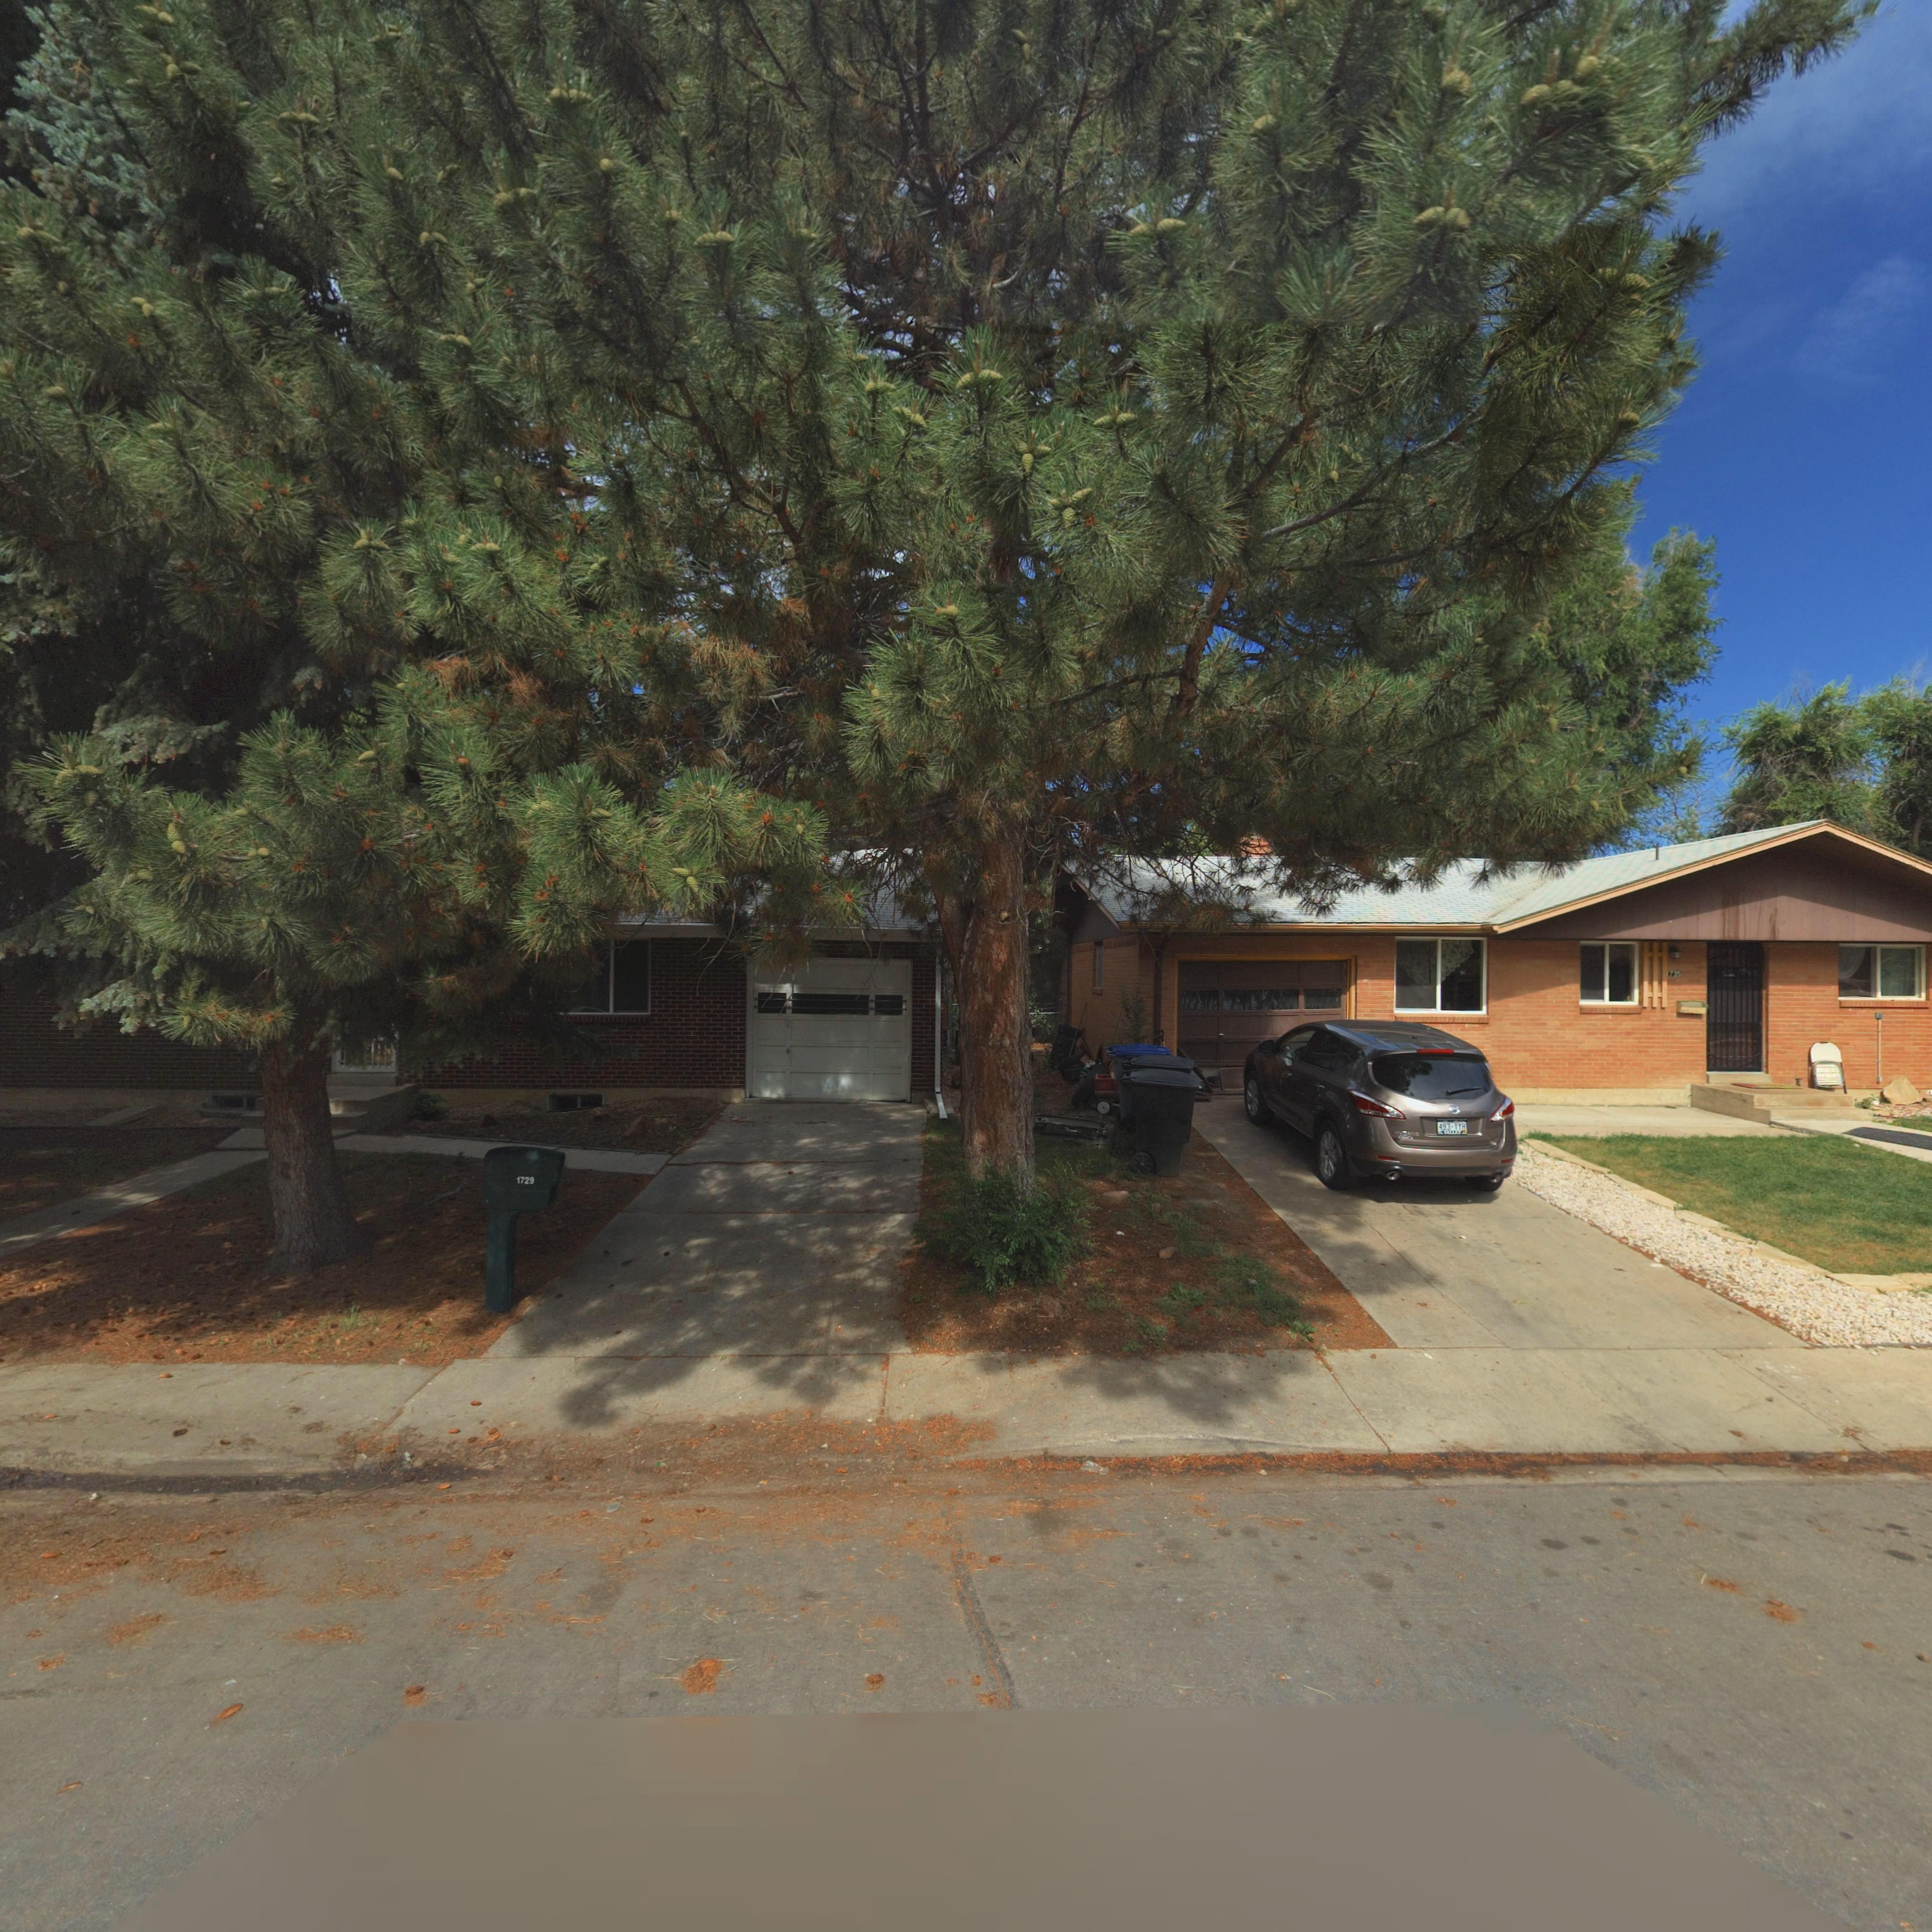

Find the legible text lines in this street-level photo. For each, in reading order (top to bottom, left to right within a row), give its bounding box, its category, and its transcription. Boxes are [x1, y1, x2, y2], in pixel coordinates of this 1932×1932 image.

[1666, 971, 1681, 977] StreetNumber: 1735
[515, 1176, 535, 1185] StreetNumber: 1729